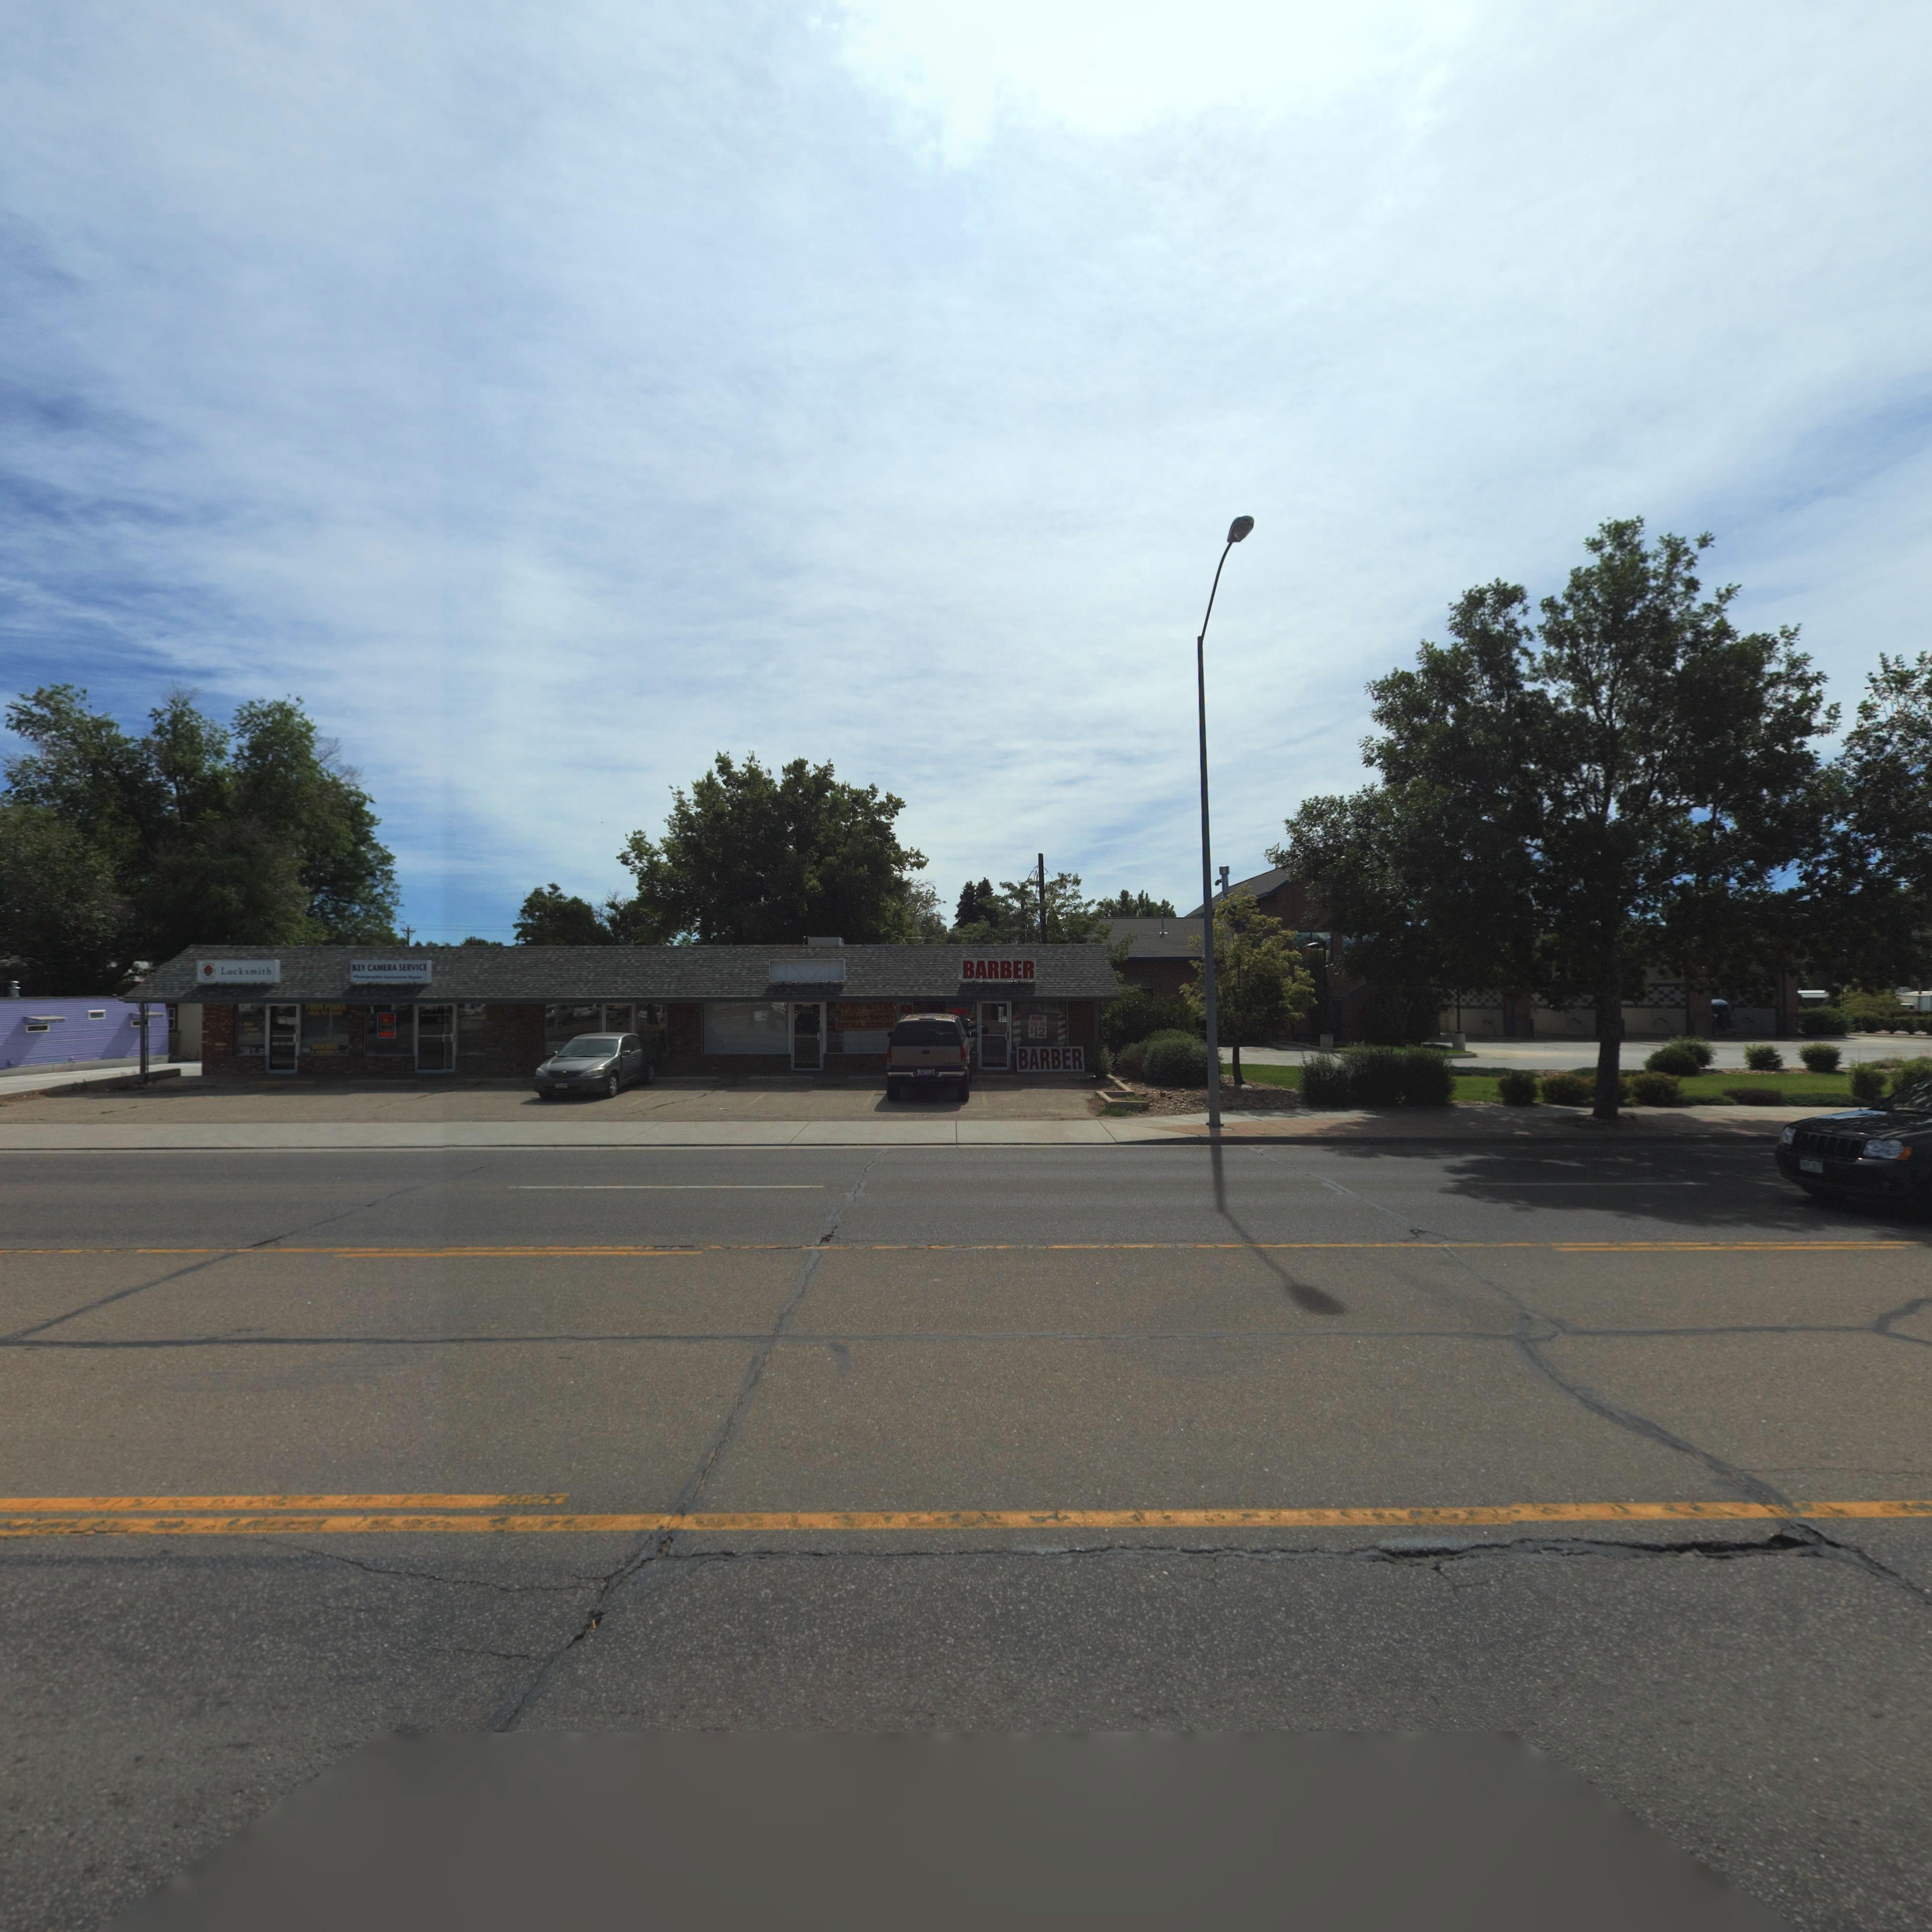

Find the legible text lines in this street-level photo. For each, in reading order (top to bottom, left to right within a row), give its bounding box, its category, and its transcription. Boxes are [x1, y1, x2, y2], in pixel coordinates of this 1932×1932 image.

[351, 963, 427, 971] BusinessName: KEY CAMERA SERVICE